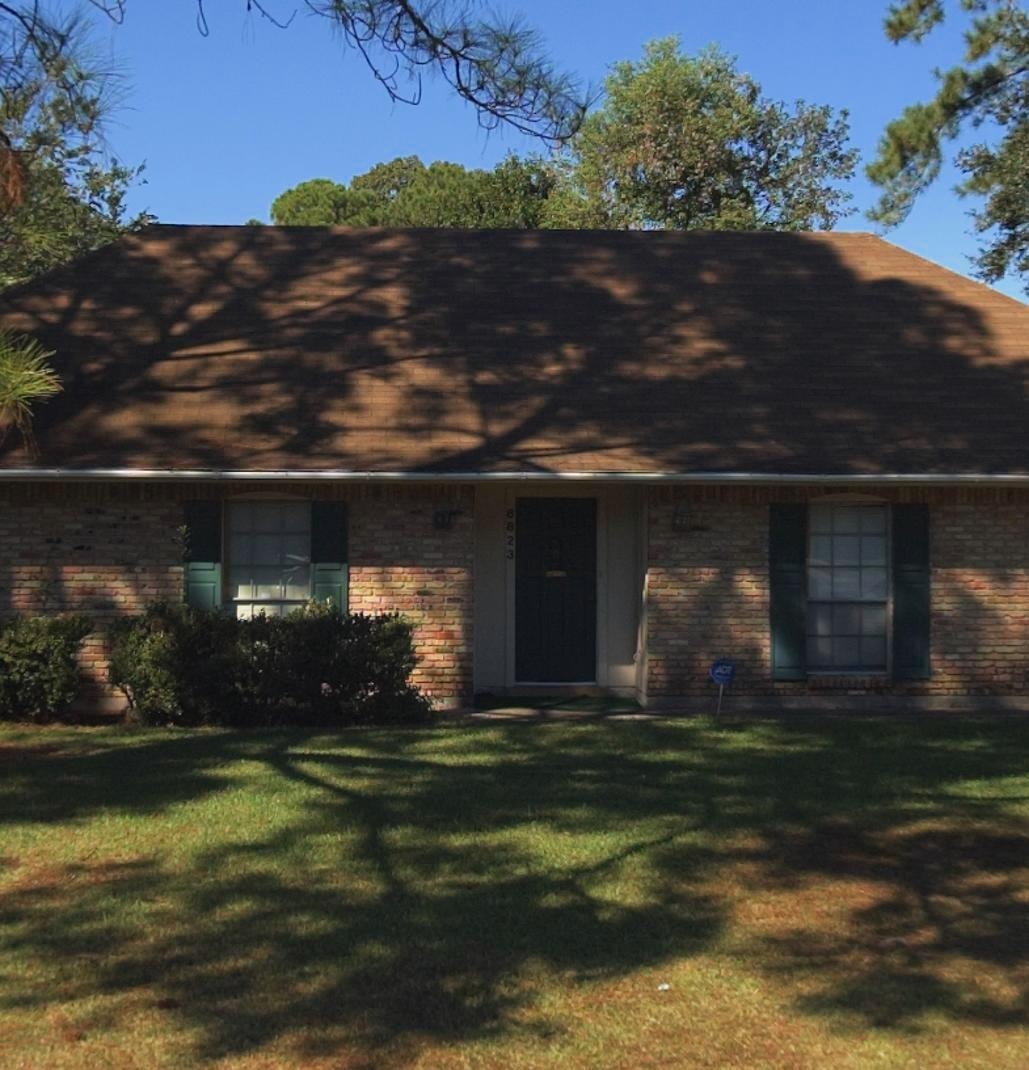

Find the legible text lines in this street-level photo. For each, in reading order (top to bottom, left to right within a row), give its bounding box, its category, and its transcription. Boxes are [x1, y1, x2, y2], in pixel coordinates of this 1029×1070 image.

[504, 507, 516, 561] StreetNumber: 8823